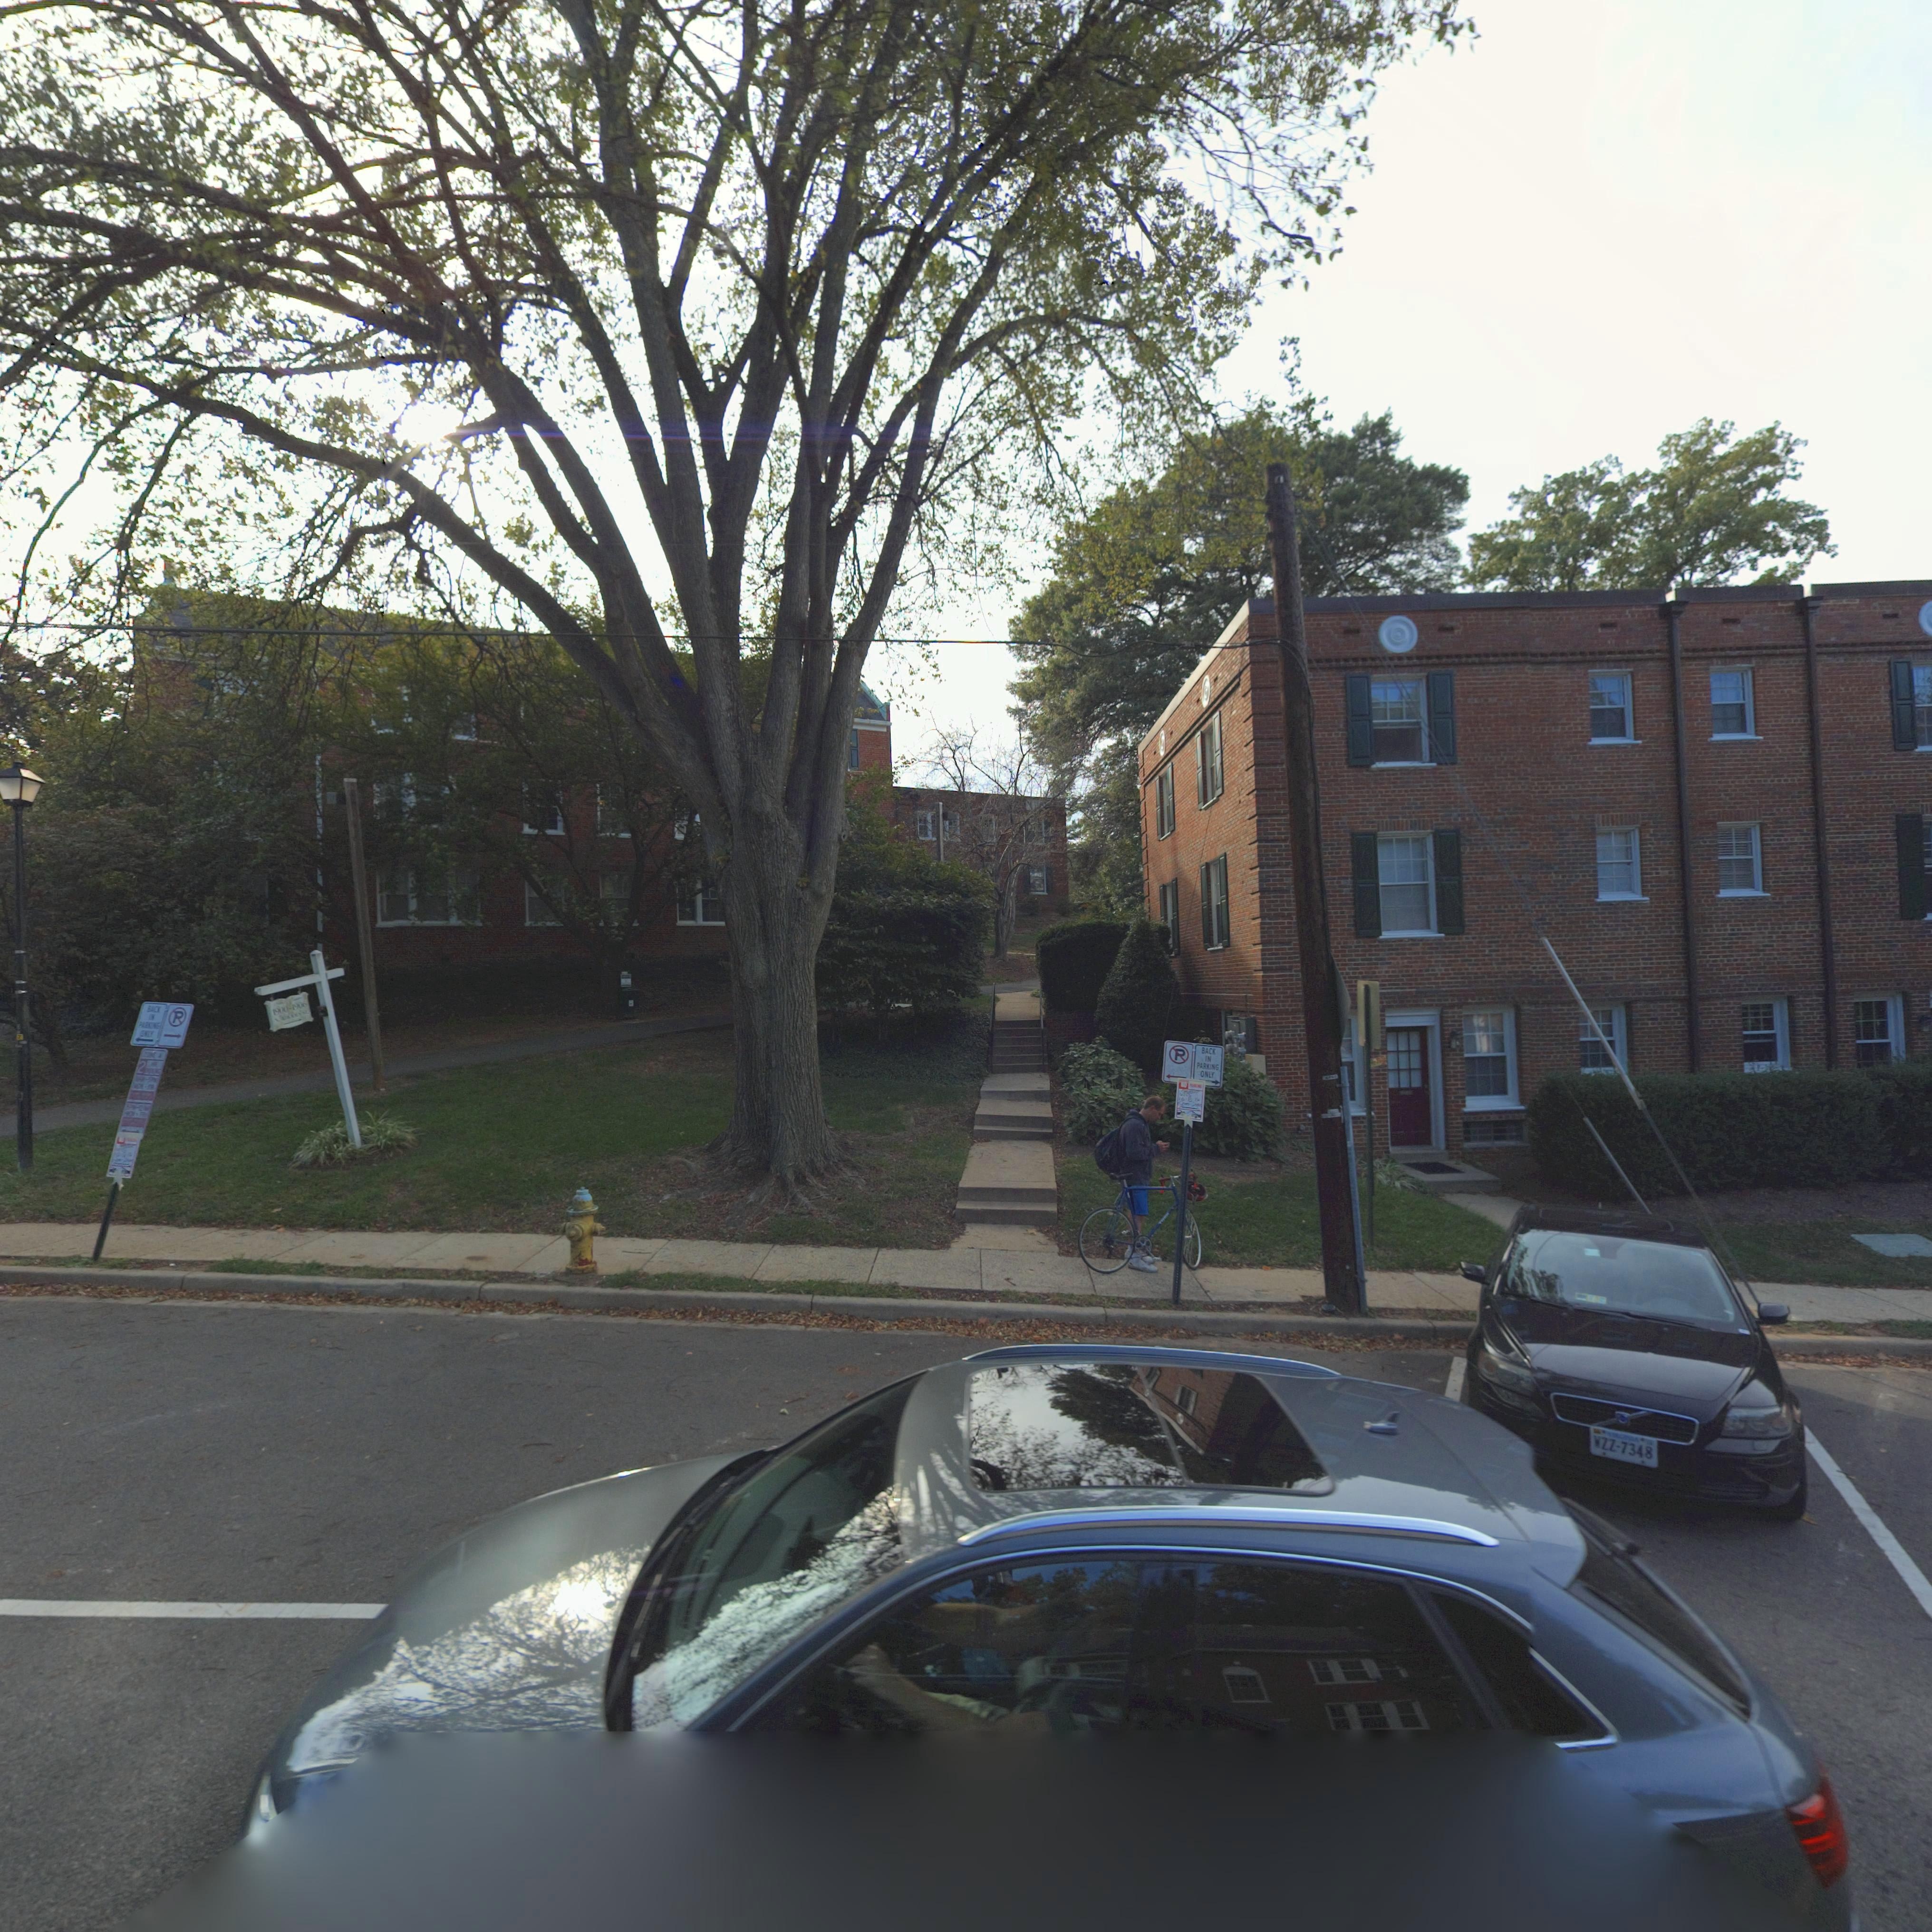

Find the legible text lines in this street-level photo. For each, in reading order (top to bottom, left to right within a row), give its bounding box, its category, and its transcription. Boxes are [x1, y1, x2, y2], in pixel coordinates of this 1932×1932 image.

[145, 1004, 160, 1015] None: BAC
[136, 1021, 151, 1029] None: PAR
[144, 1030, 157, 1038] None: LY
[1200, 1045, 1217, 1057] None: BACK
[1204, 1053, 1212, 1064] None: IN
[136, 1060, 147, 1075] None: 2
[1195, 1061, 1220, 1072] None: PARKING
[1198, 1069, 1217, 1080] None: ONLY
[1593, 1433, 1656, 1461] None: WZZ-7348